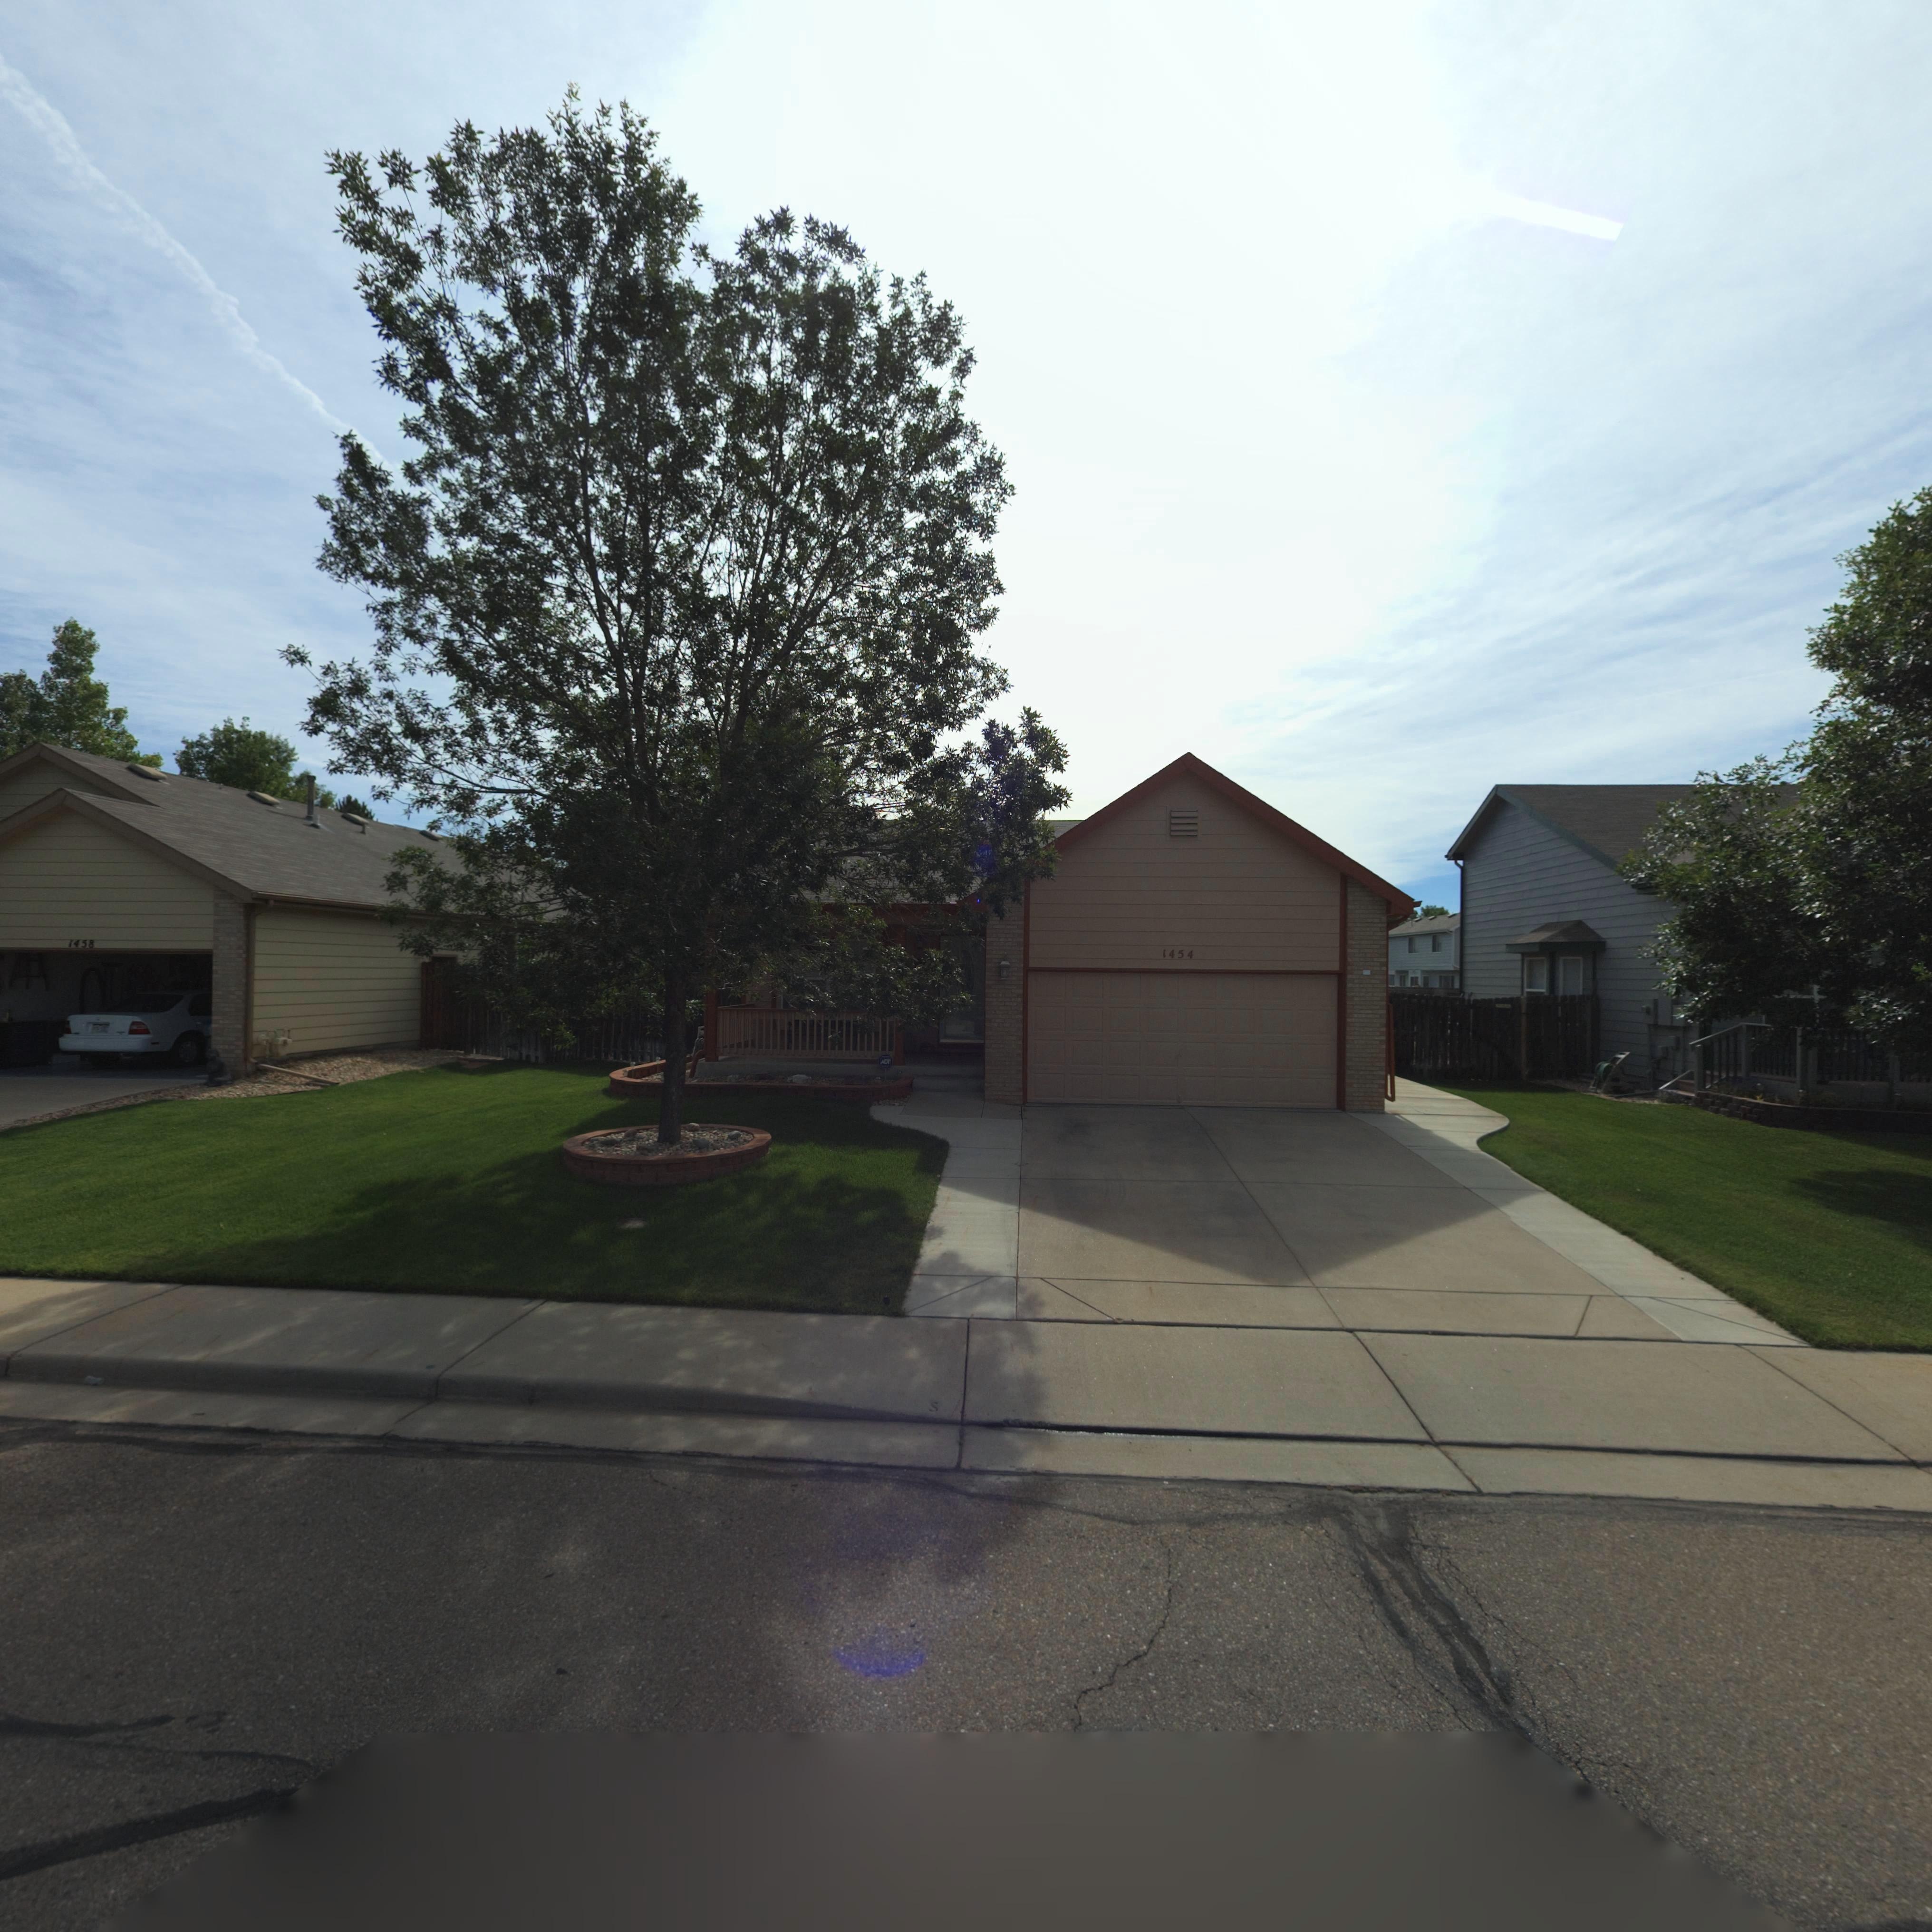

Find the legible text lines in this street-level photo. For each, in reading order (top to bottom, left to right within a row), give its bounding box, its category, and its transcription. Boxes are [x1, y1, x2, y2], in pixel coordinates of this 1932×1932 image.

[68, 938, 95, 949] StreetNumber: 1458
[1162, 948, 1194, 959] StreetNumber: 1454